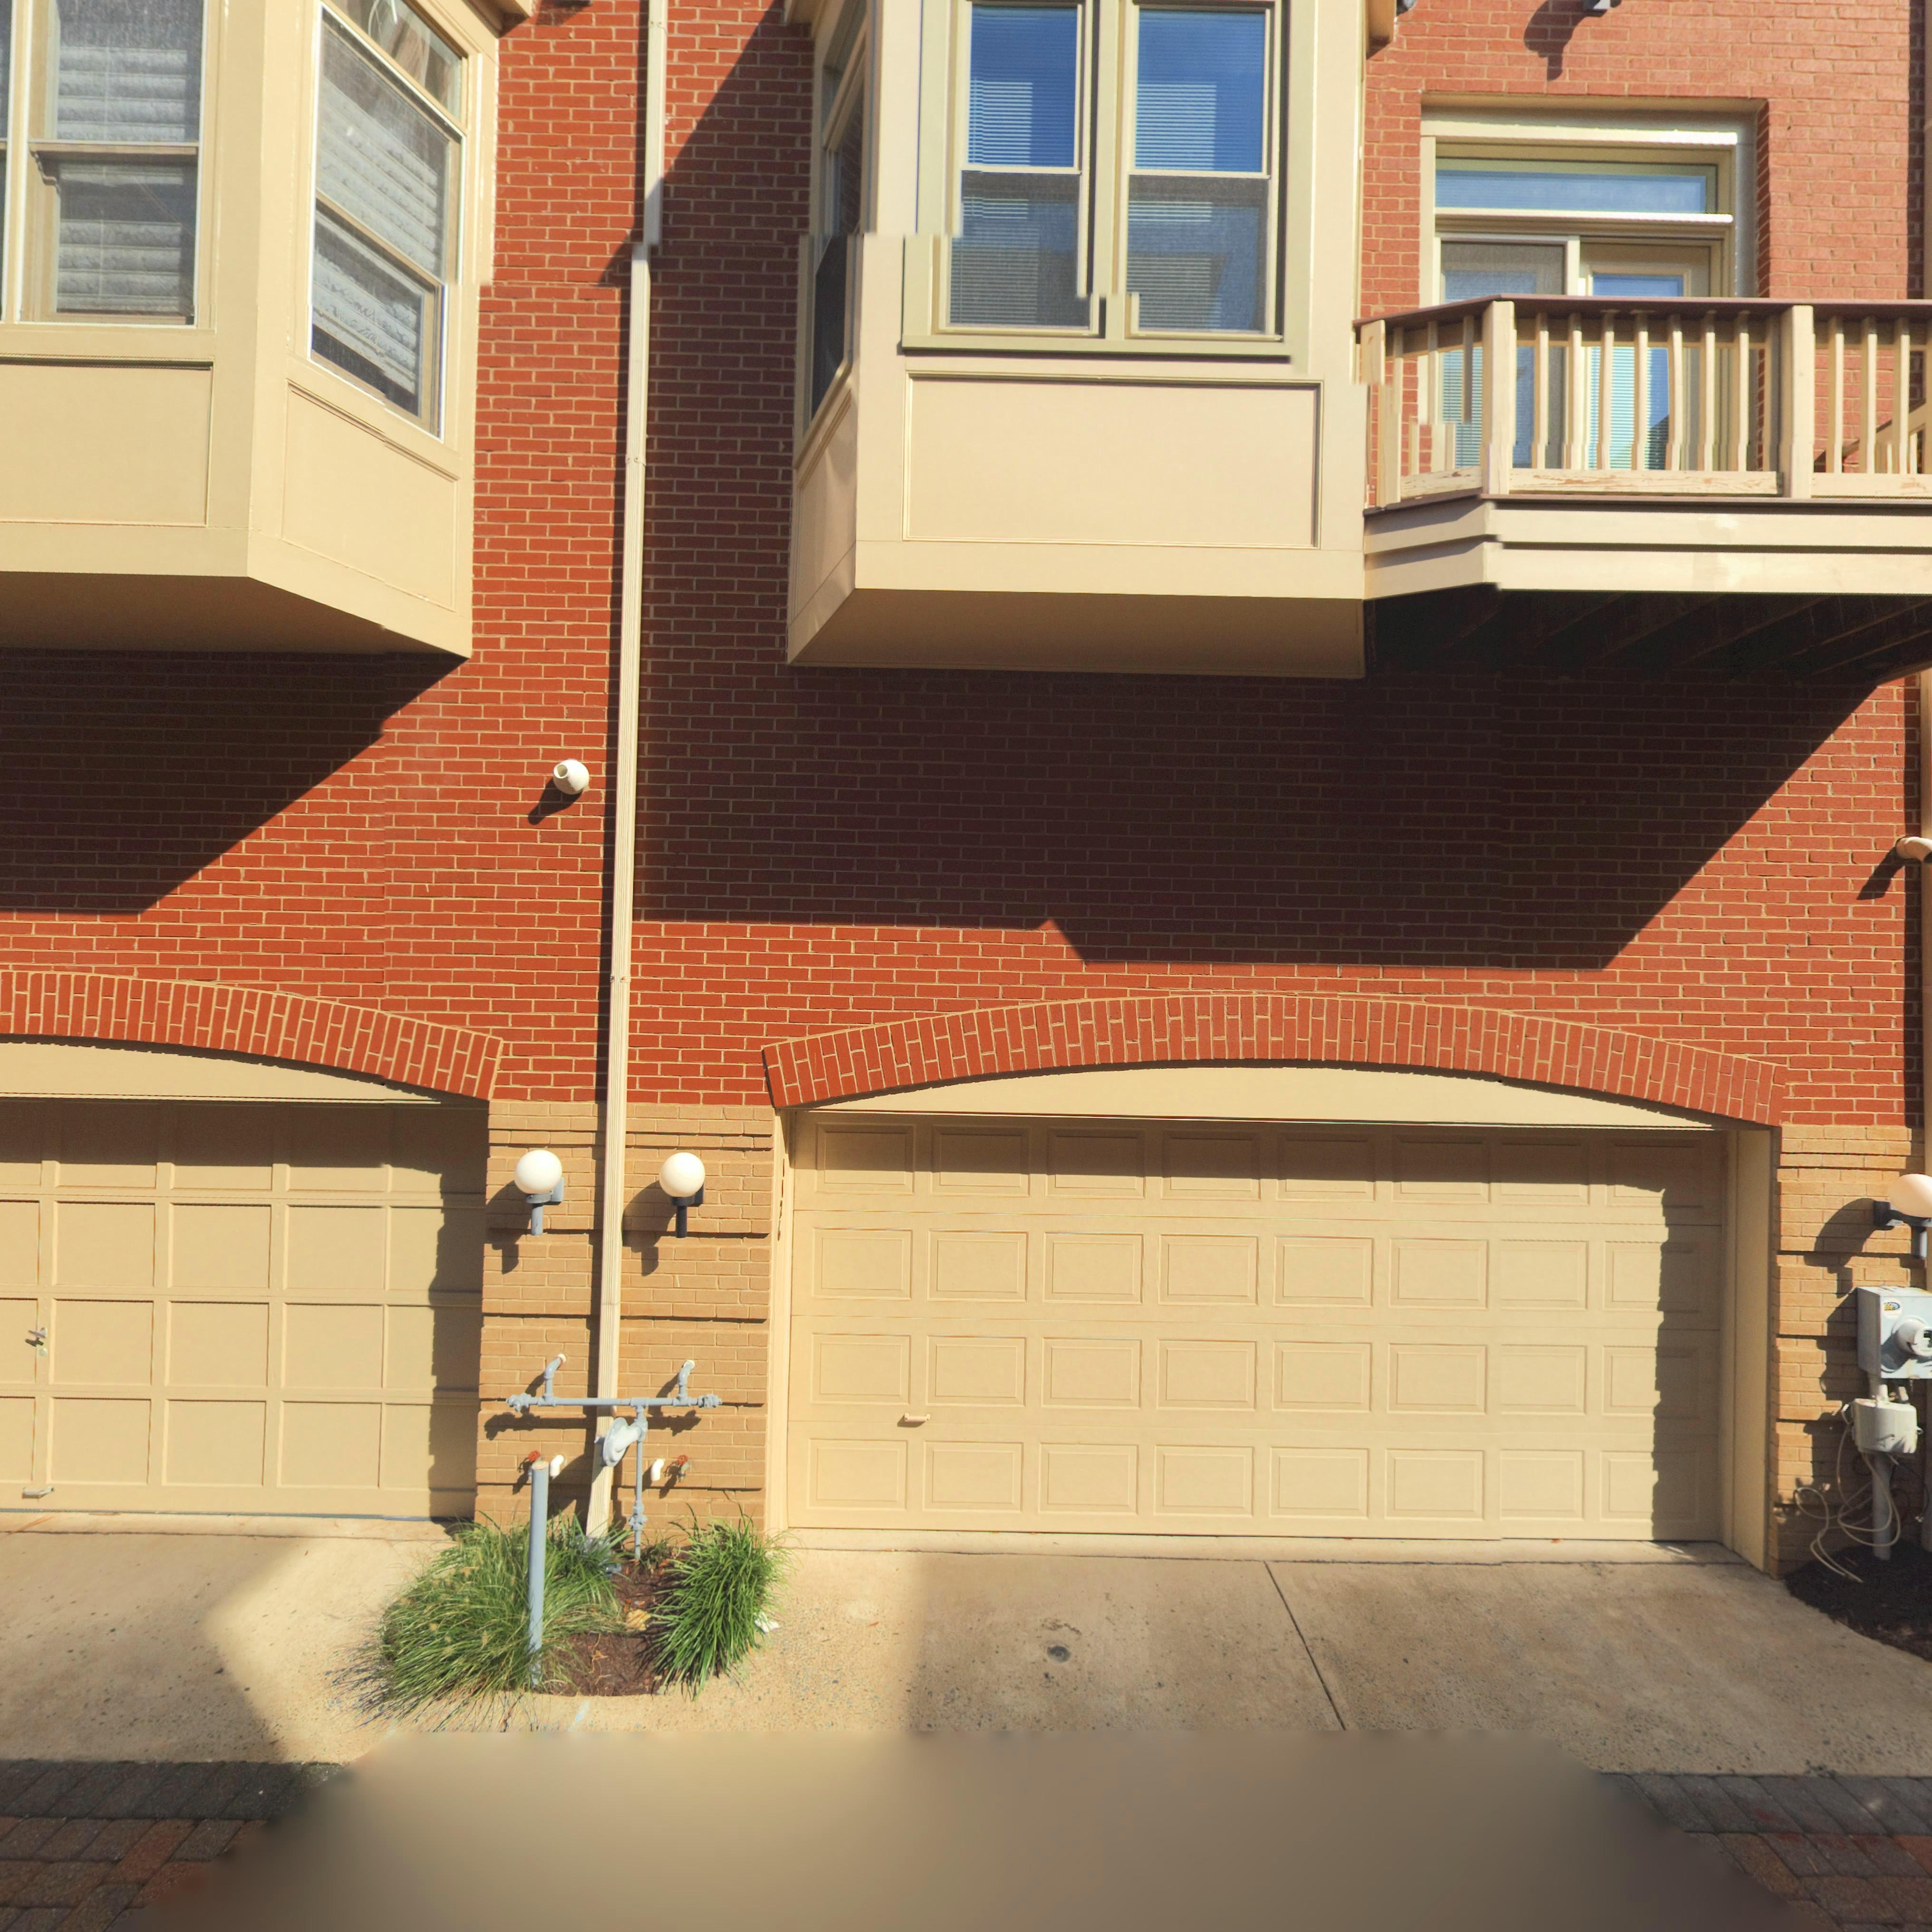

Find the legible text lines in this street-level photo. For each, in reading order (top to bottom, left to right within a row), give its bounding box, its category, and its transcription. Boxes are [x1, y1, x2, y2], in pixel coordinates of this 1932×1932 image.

[776, 1158, 786, 1242] StreetNumber: 1126